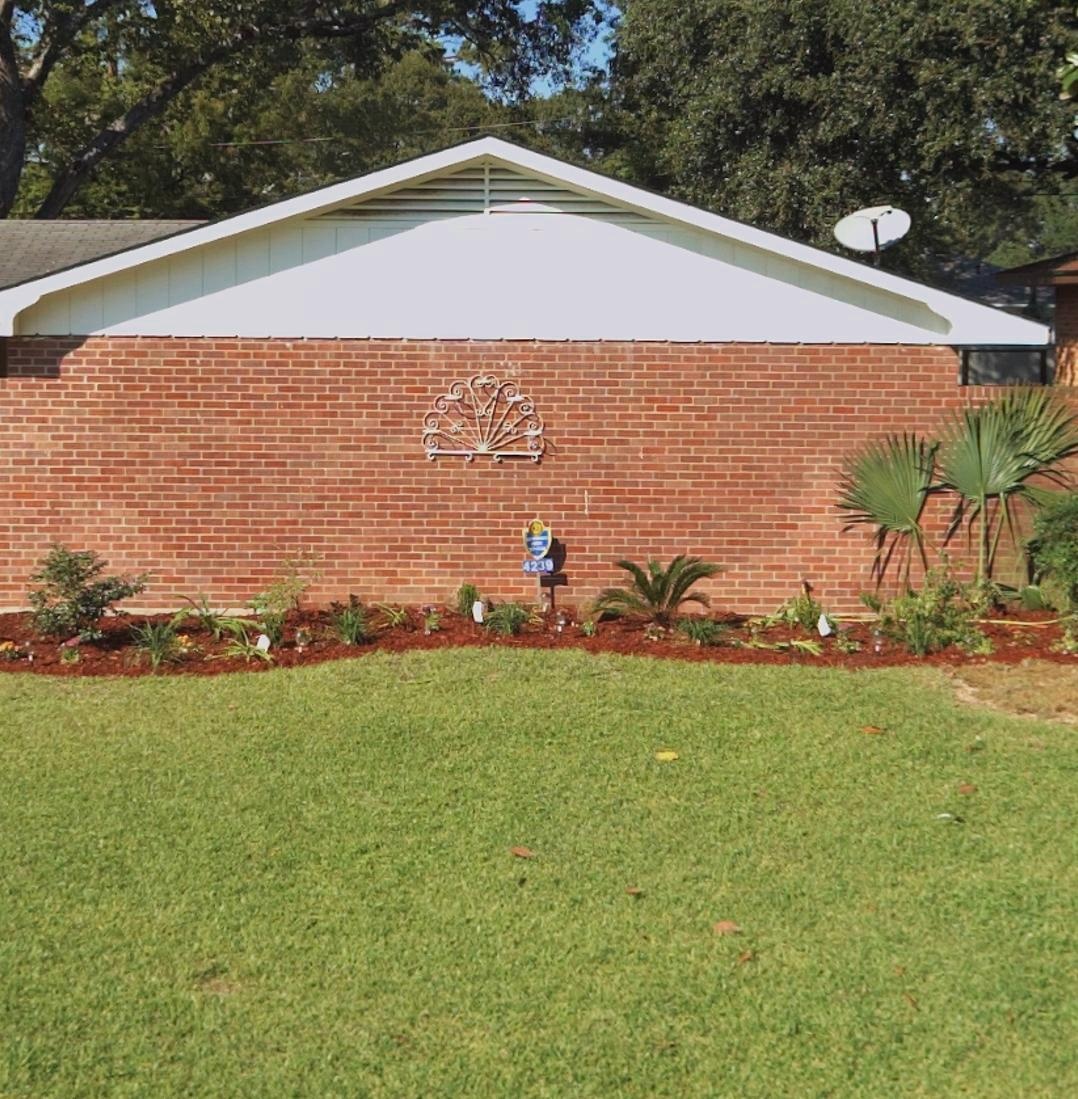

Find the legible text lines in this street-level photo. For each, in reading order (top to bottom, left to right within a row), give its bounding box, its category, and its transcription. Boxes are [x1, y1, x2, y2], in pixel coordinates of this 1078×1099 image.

[522, 558, 554, 572] StreetNumber: 4239